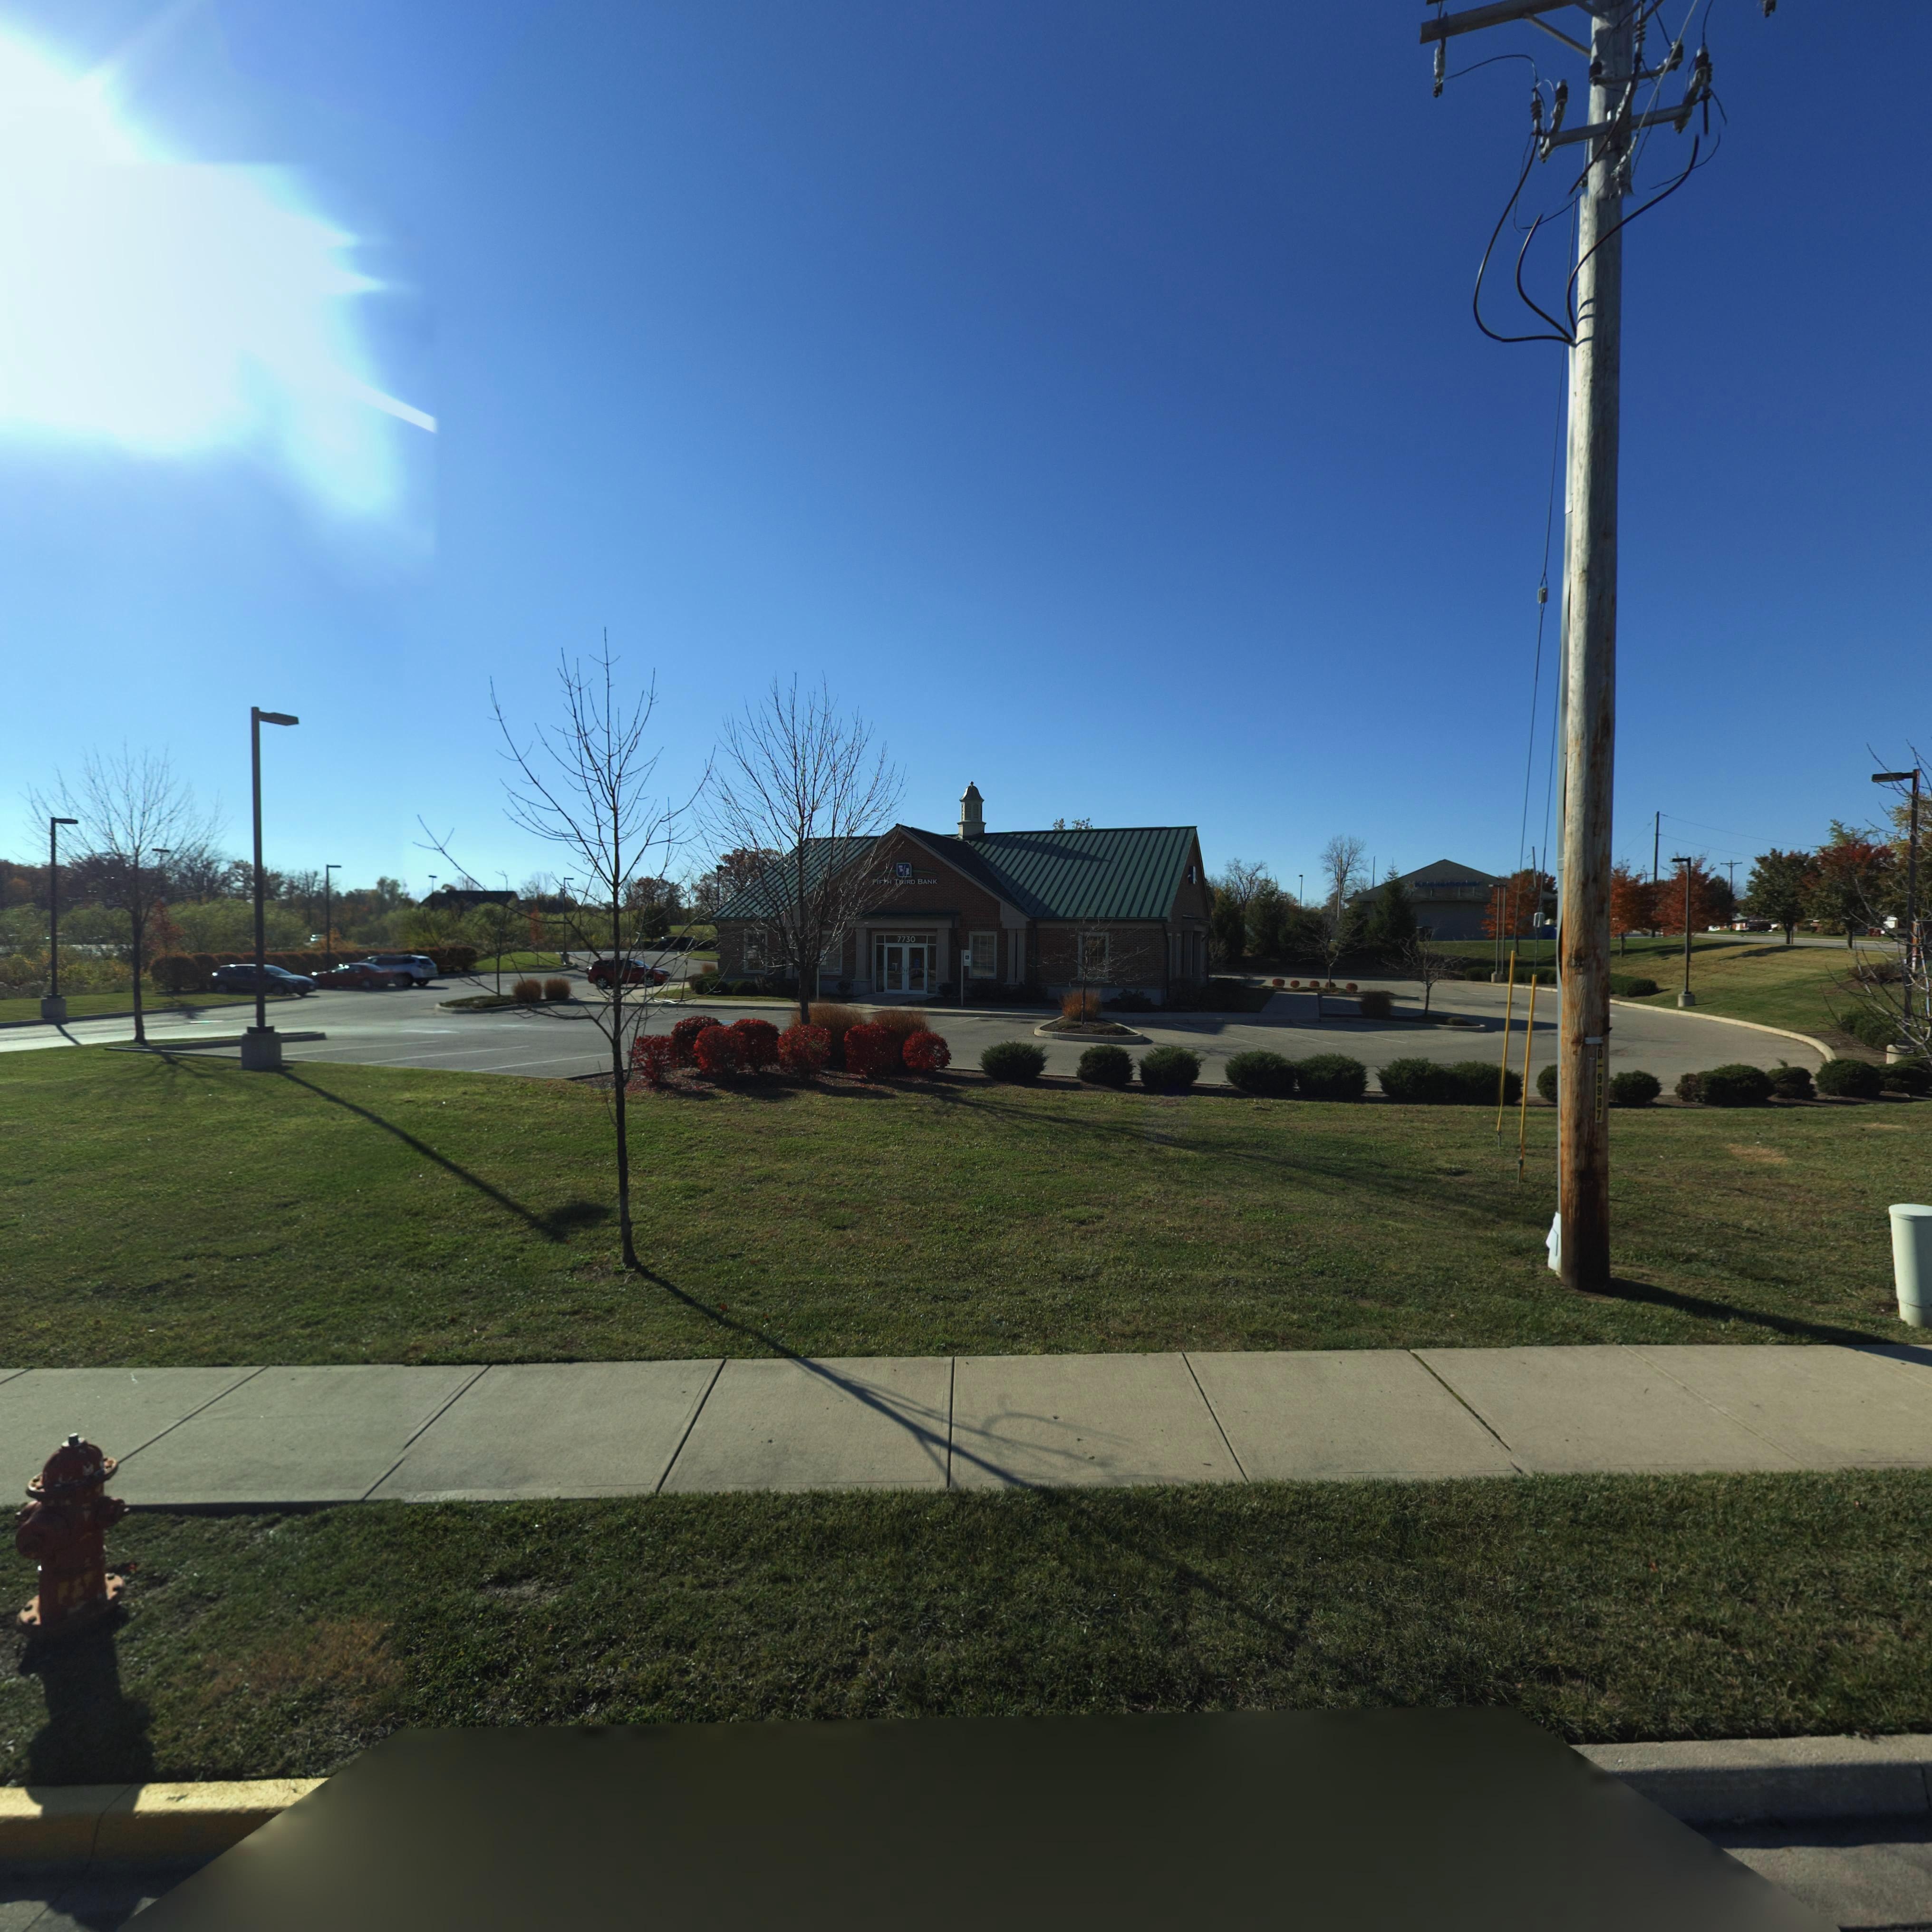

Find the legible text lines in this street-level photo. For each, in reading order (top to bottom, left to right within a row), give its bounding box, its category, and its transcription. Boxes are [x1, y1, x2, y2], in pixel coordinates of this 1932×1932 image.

[897, 936, 916, 943] StreetNumber: 7730